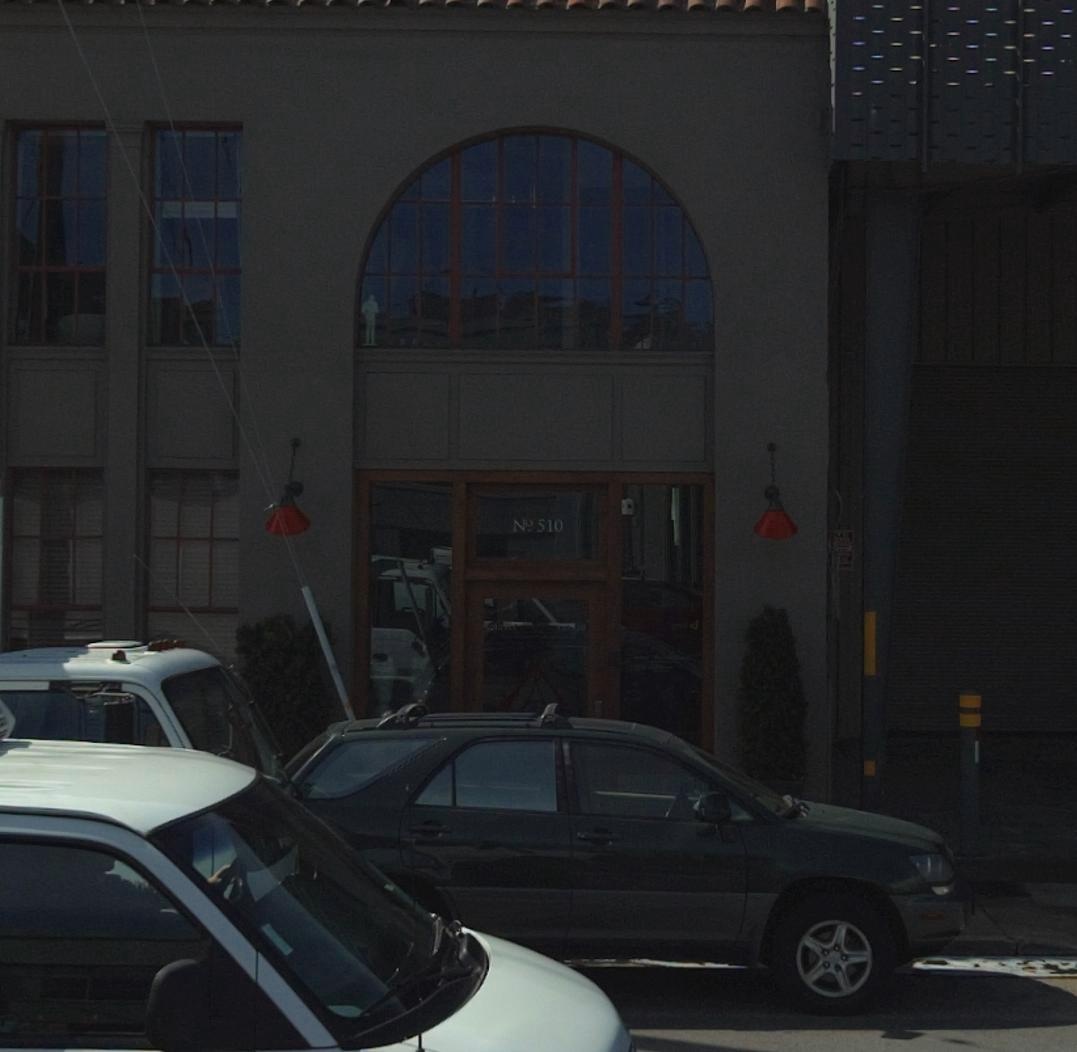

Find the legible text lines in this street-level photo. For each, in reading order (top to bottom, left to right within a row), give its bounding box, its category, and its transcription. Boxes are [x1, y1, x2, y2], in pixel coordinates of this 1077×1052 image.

[509, 514, 568, 538] StreetNumber: 510